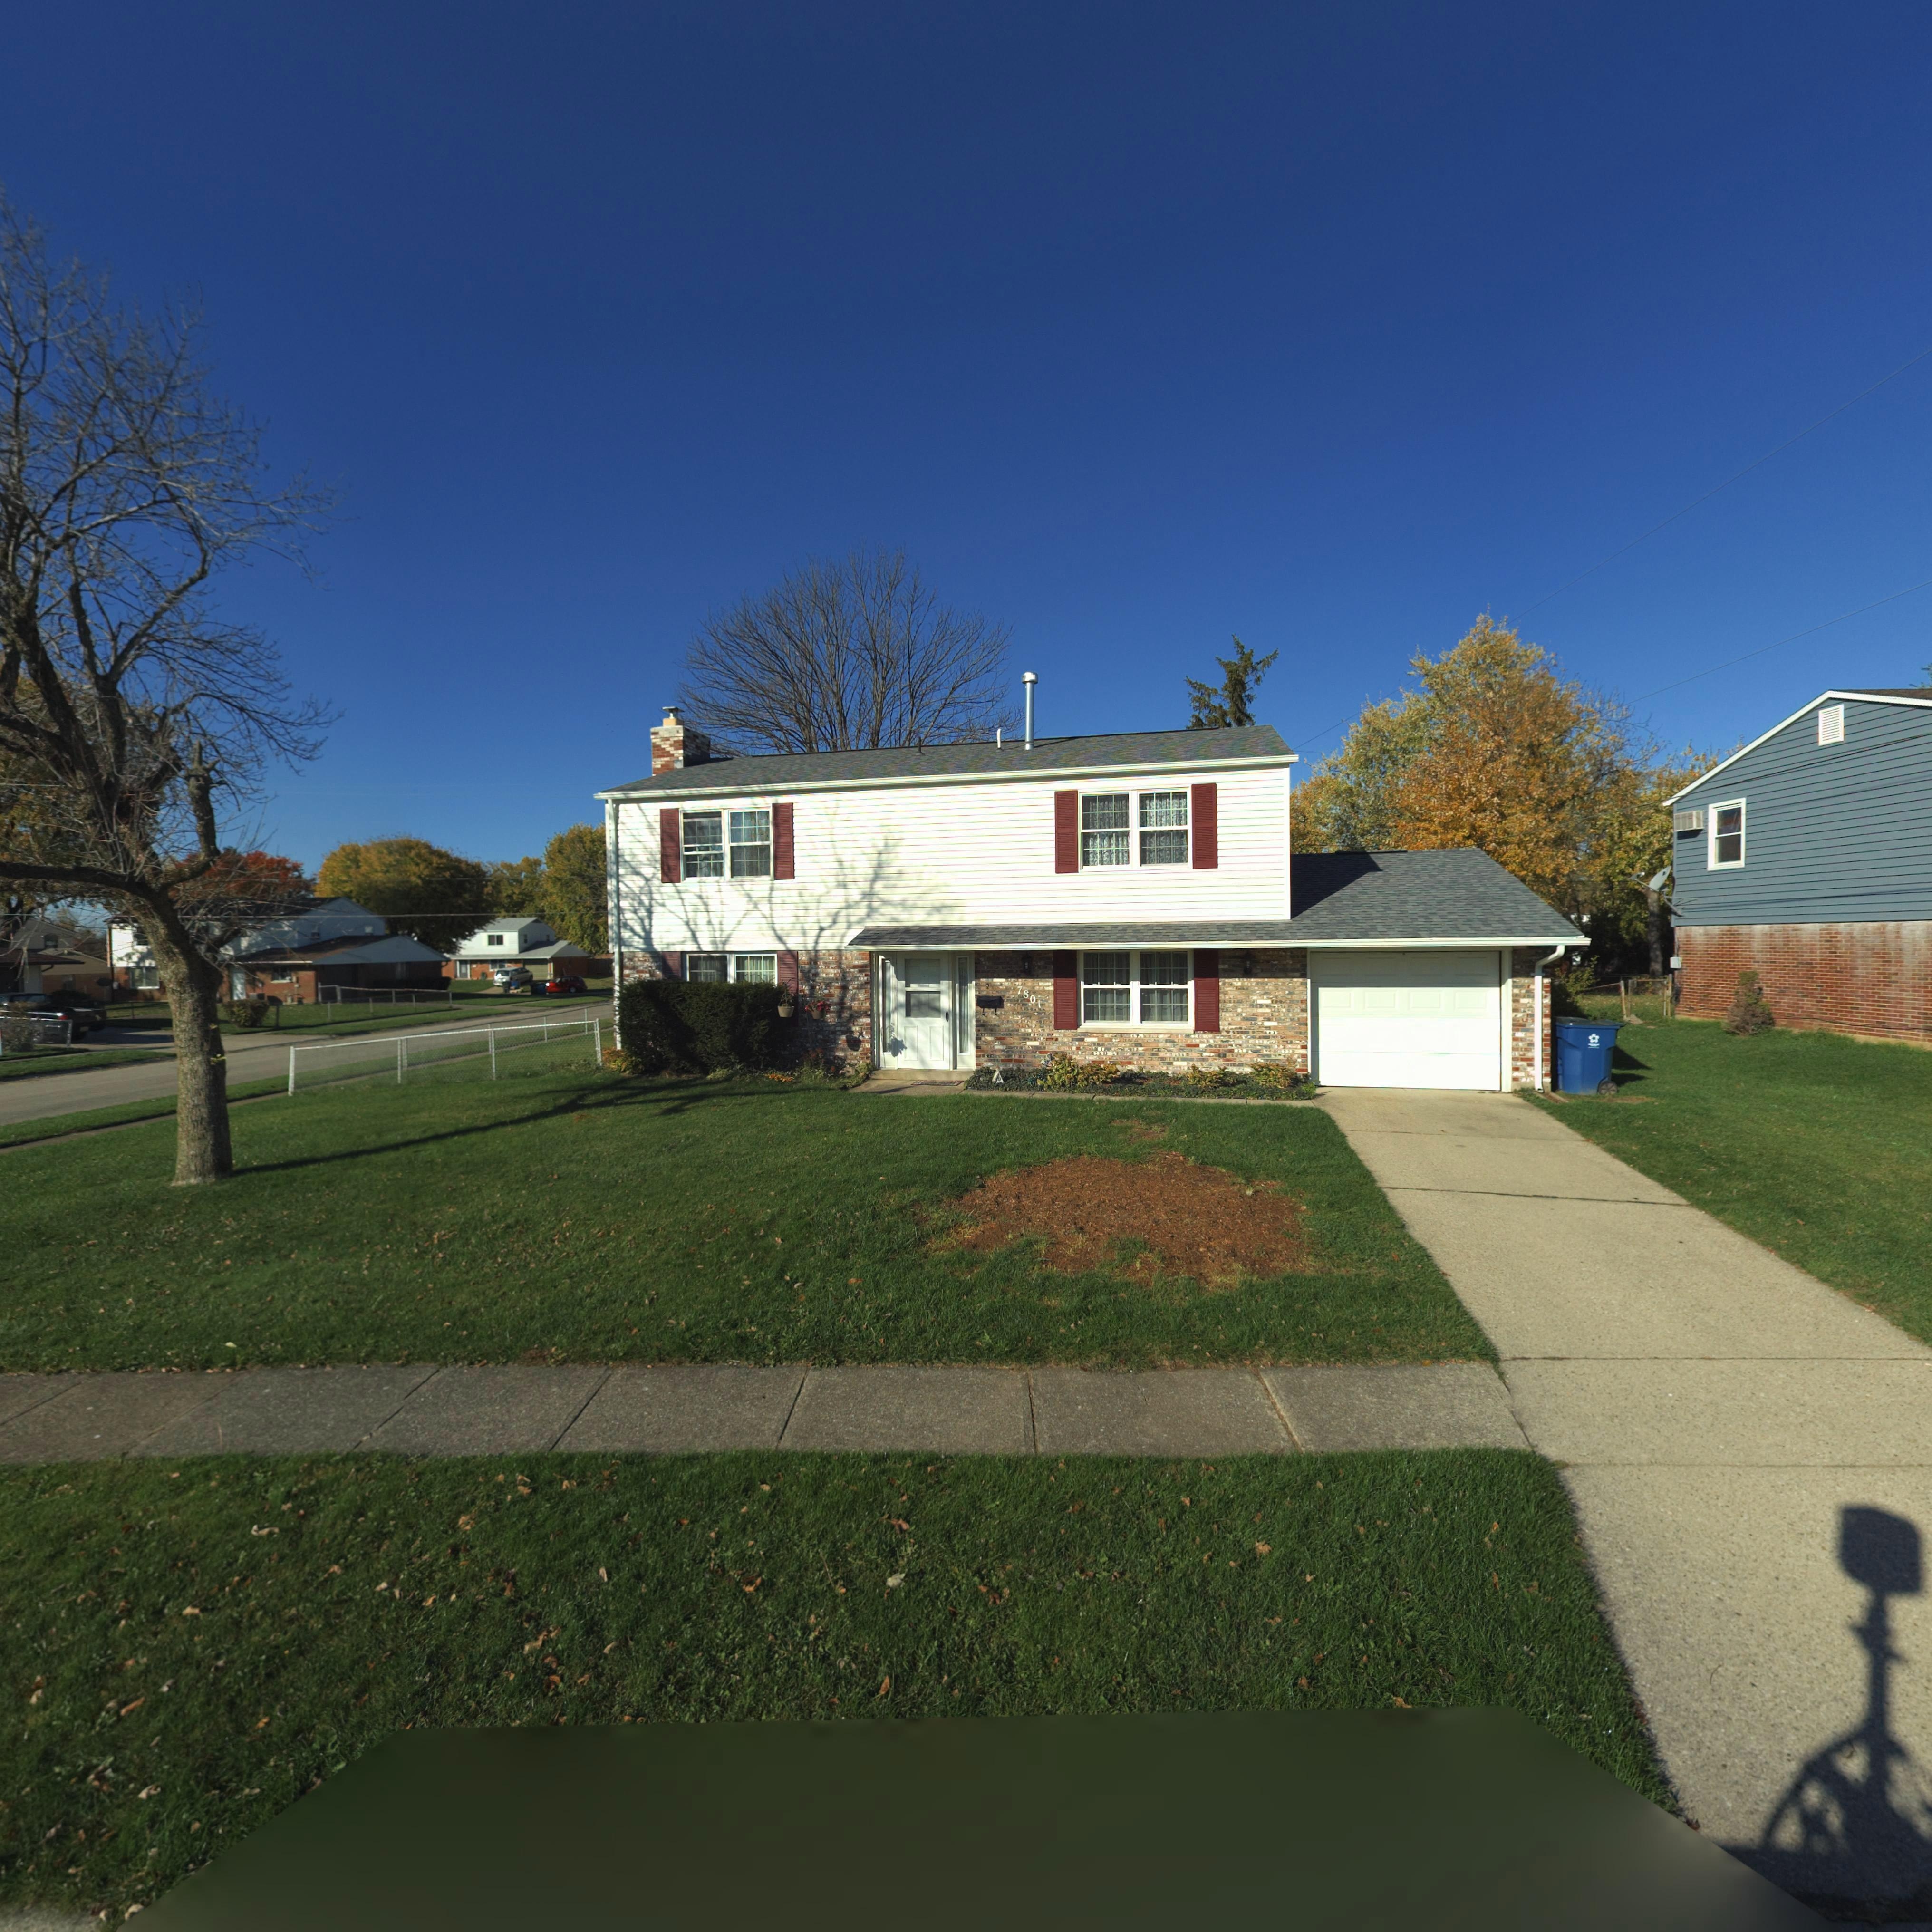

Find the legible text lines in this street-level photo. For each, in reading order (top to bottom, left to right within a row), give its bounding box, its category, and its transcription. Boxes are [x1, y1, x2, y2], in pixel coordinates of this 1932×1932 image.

[1017, 985, 1042, 1009] StreetNumber: 7801